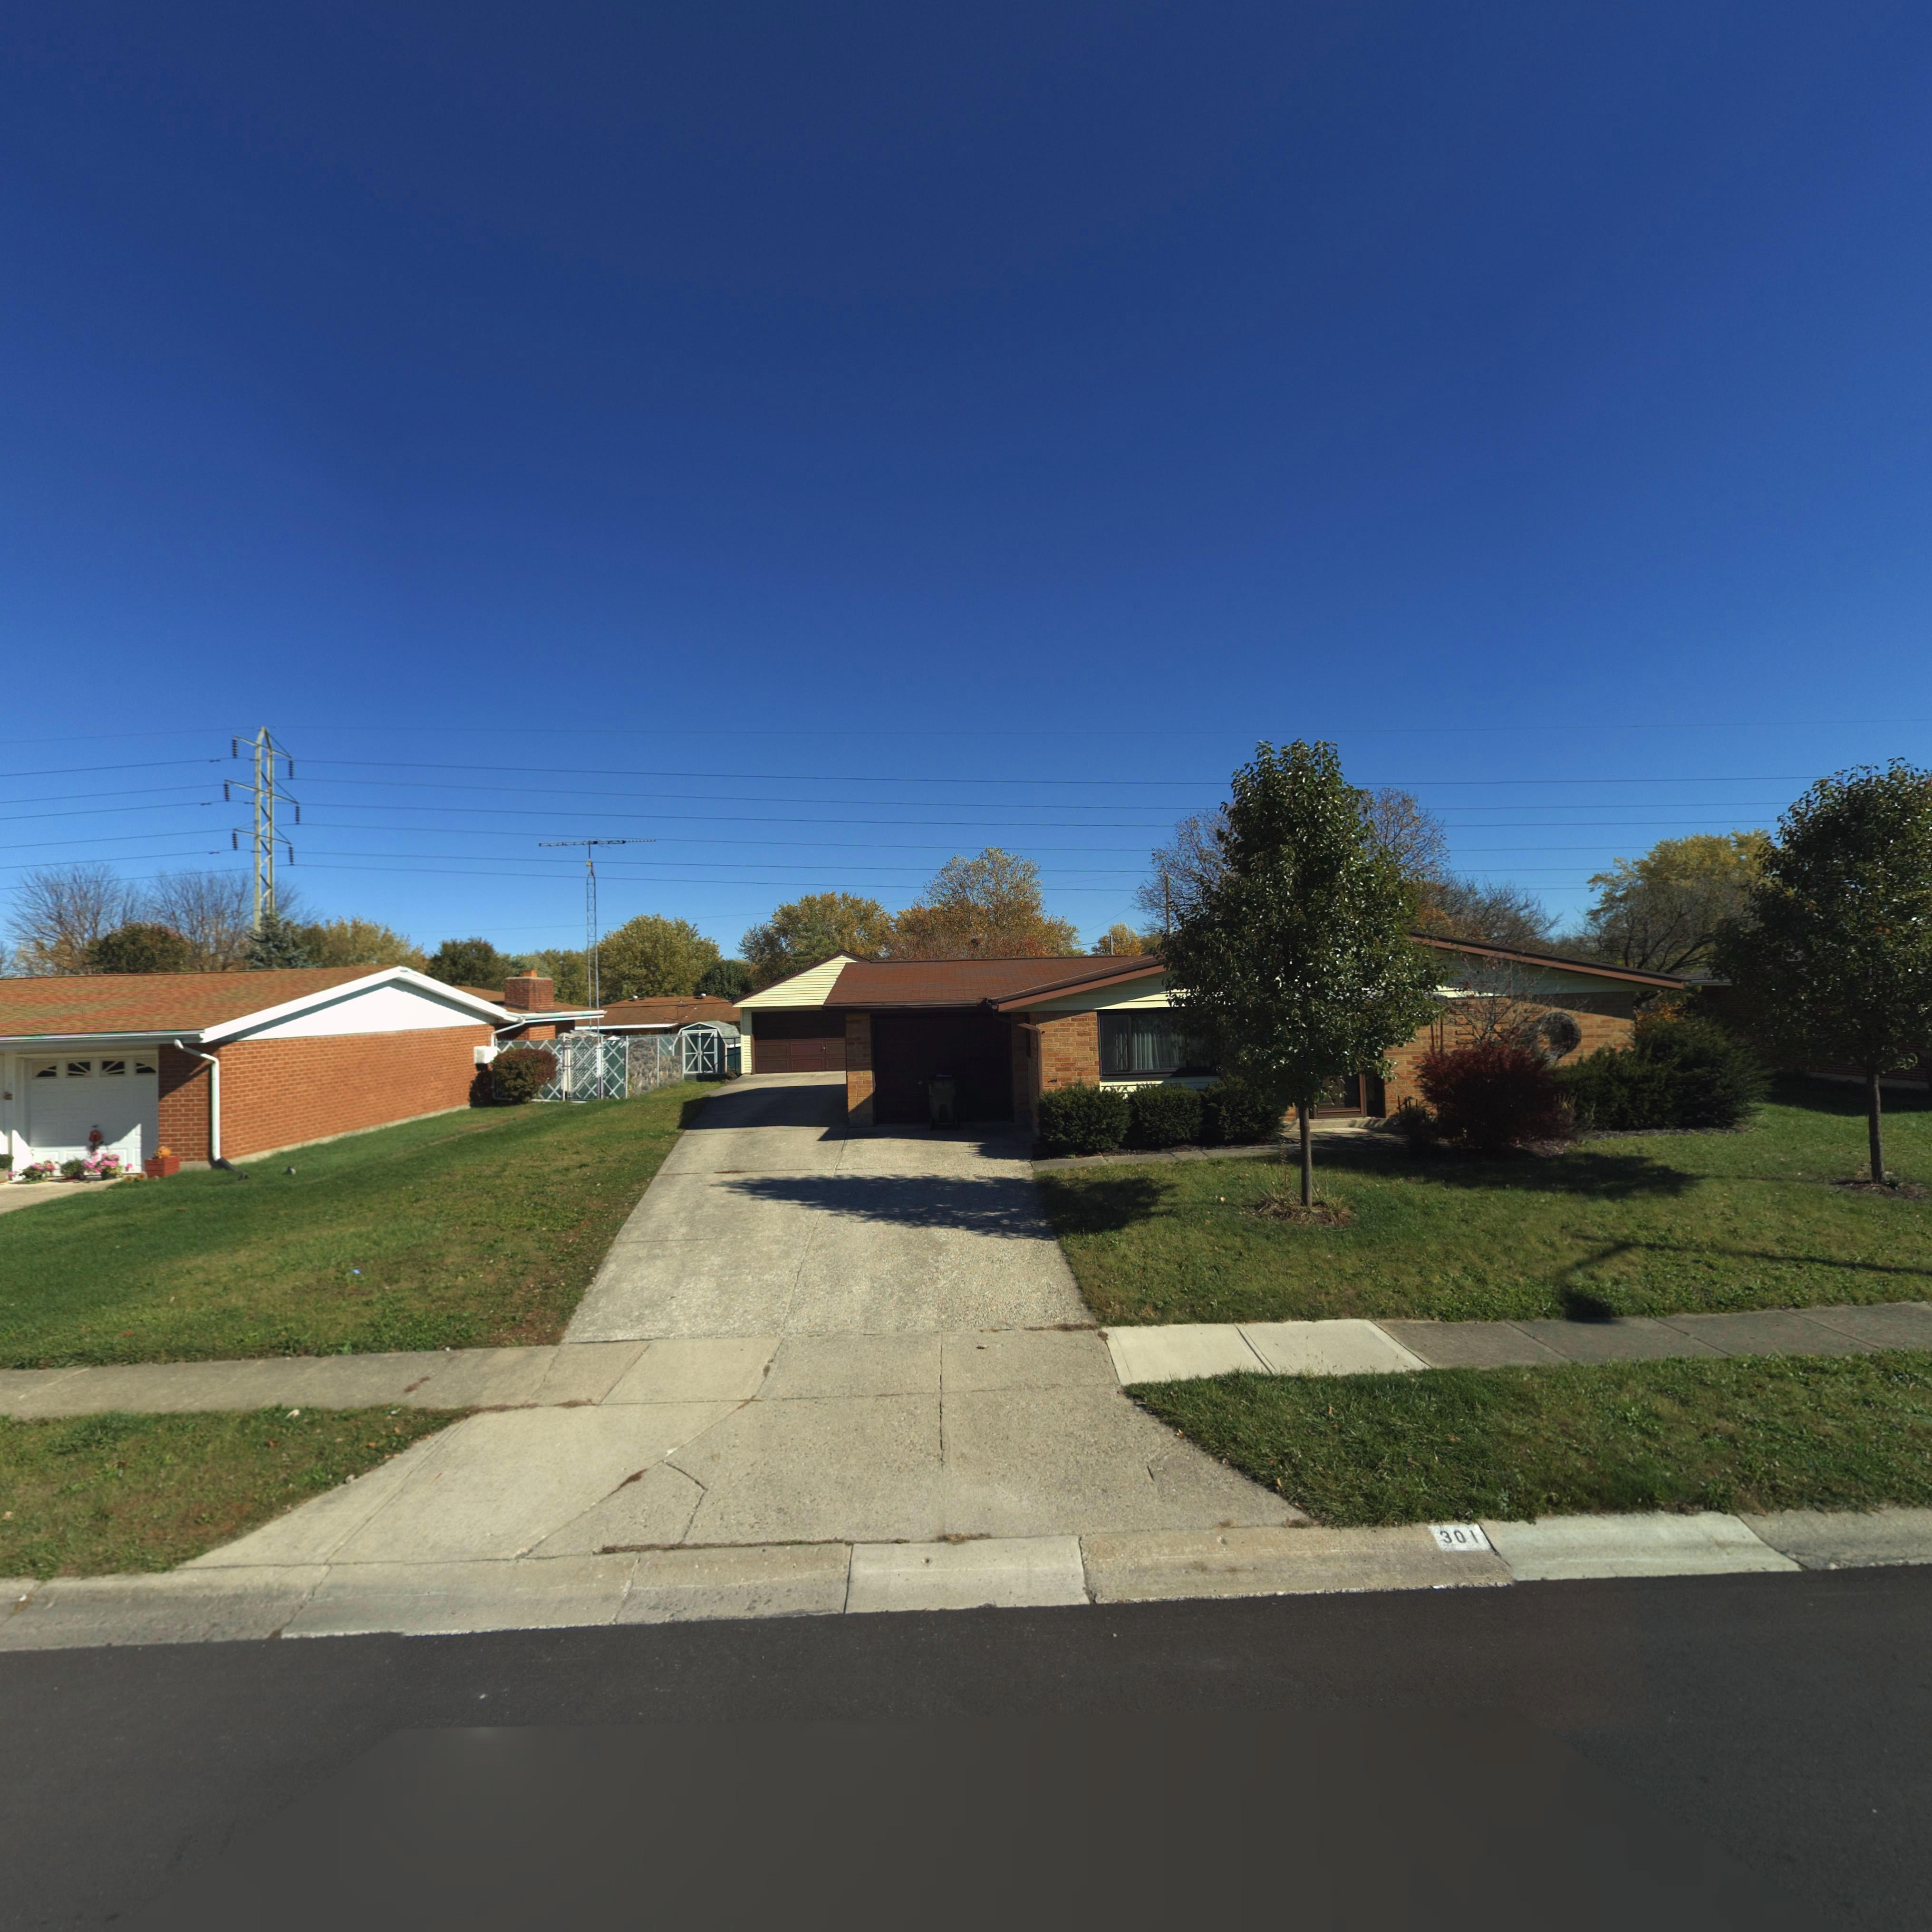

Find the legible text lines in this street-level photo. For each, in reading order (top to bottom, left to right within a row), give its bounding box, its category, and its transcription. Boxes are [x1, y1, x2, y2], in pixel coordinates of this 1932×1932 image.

[1439, 1529, 1481, 1544] StreetNumber: 301